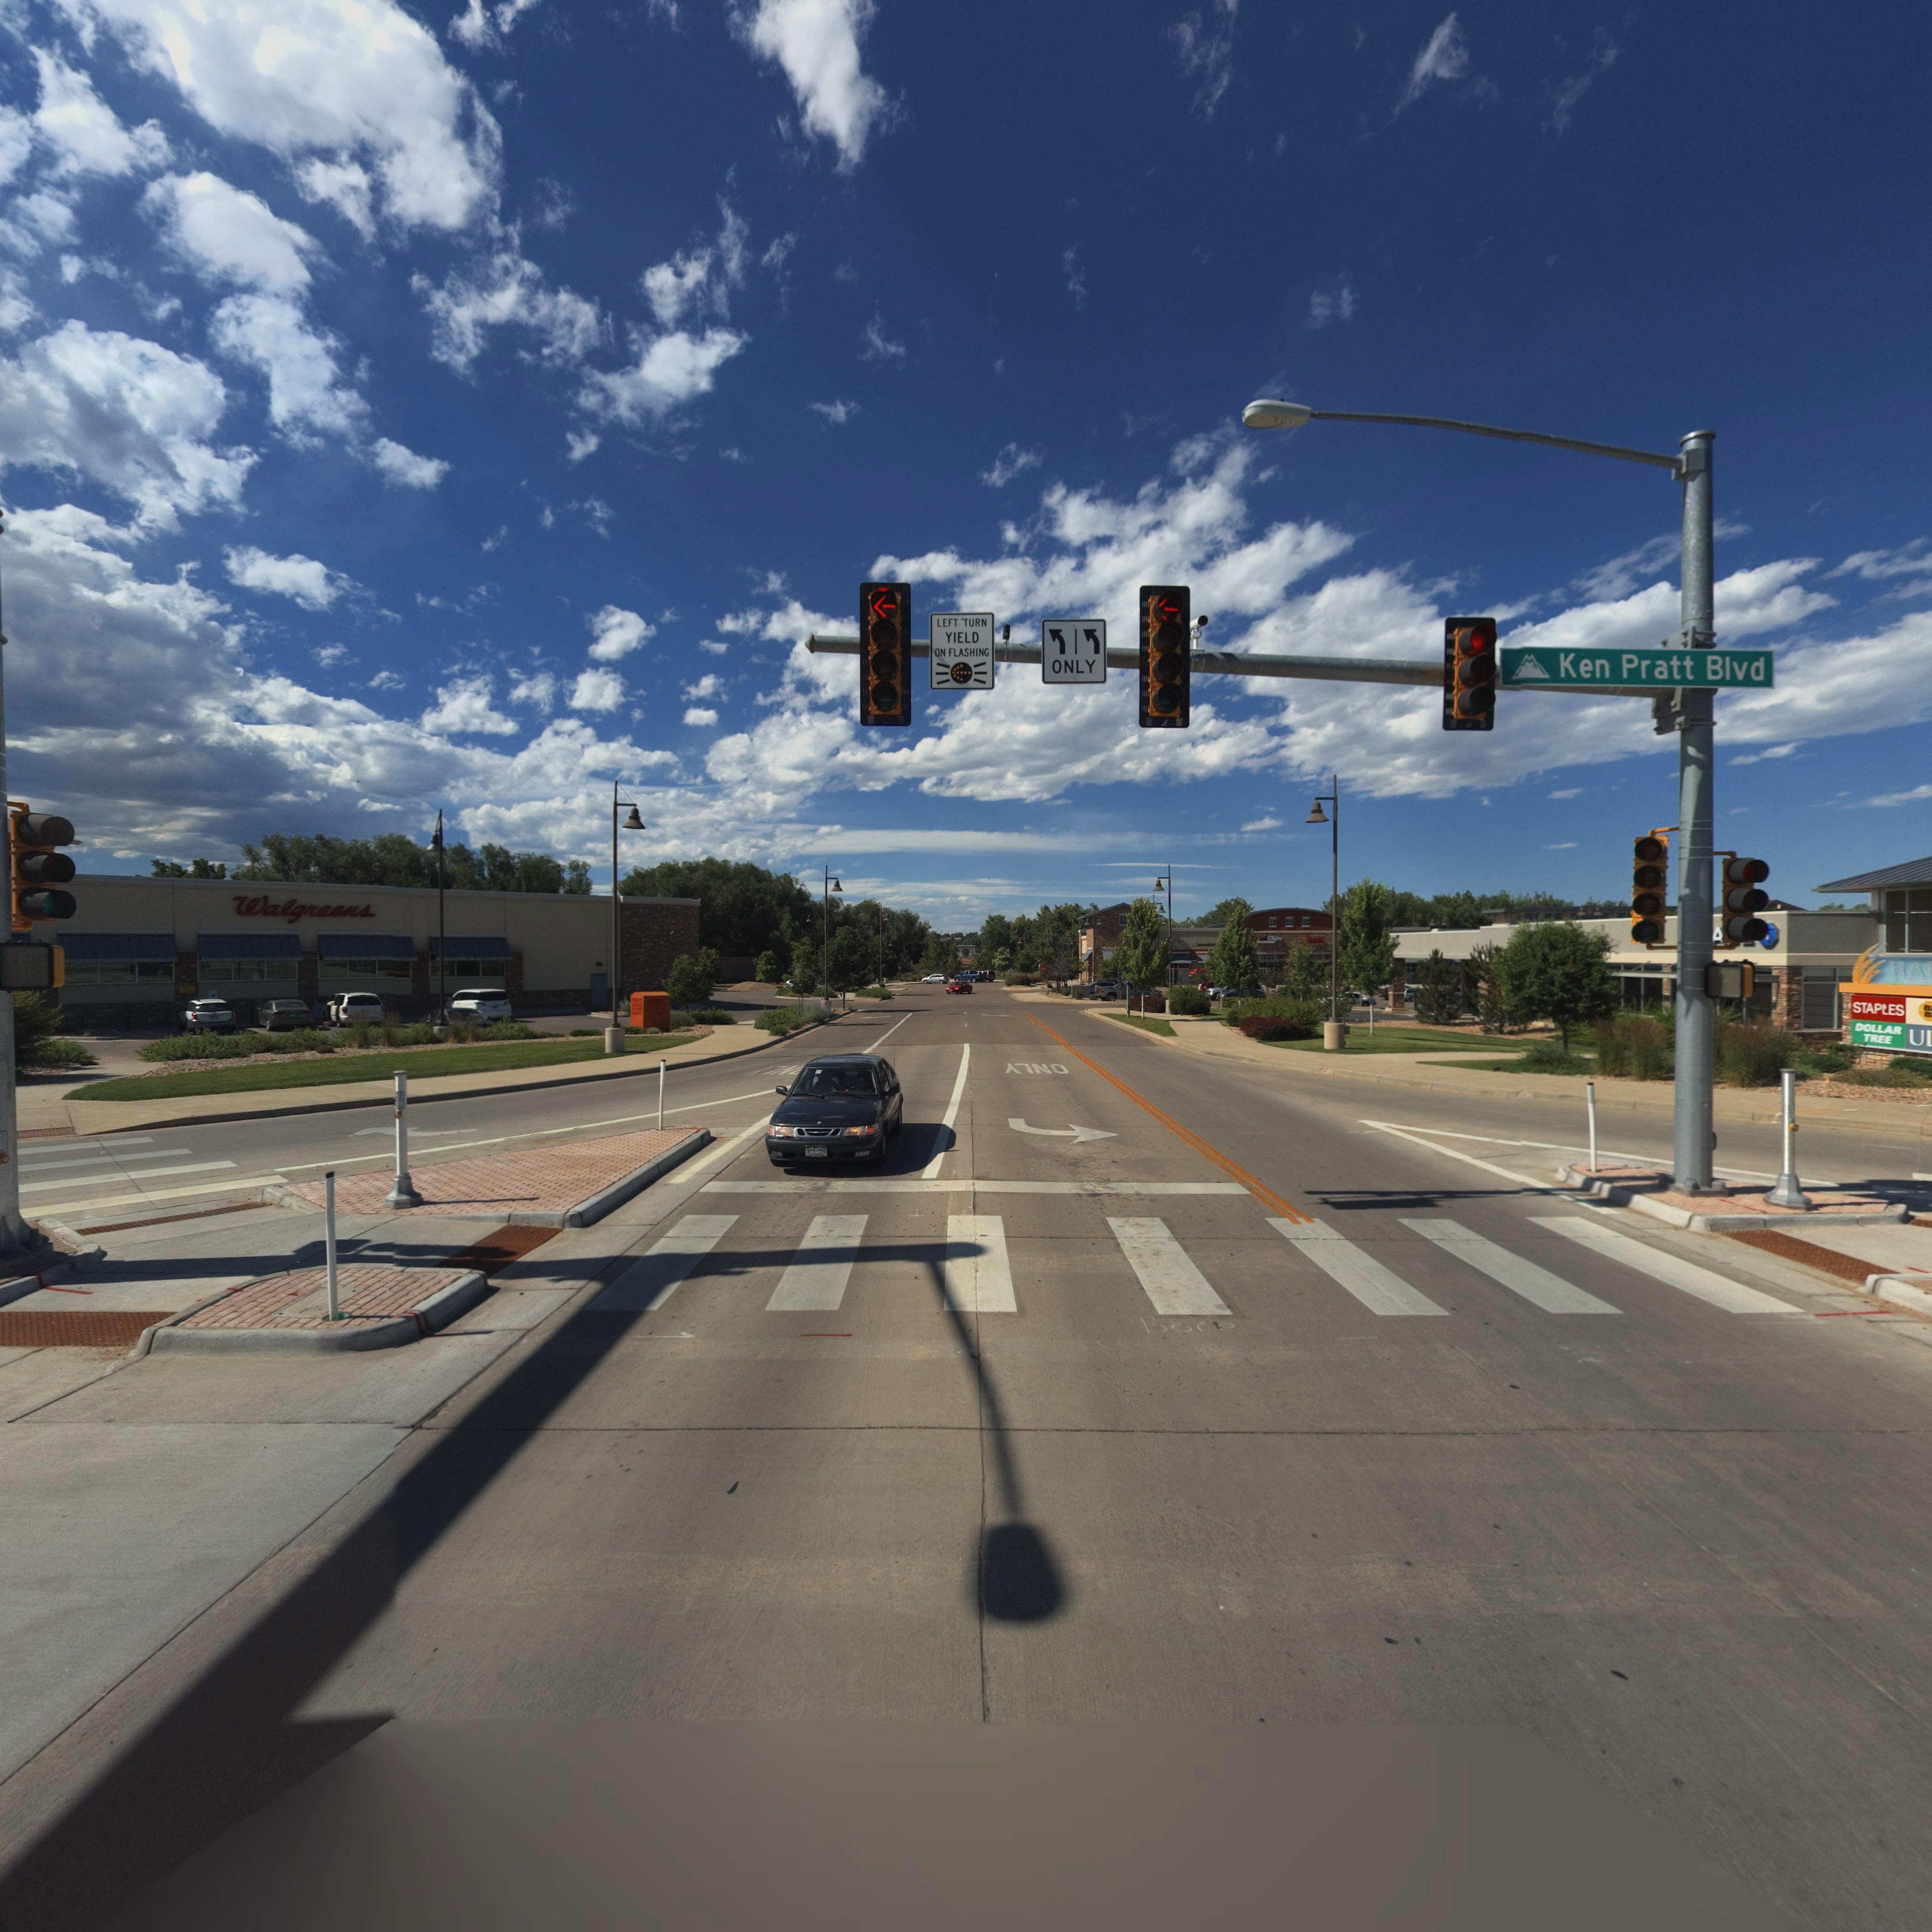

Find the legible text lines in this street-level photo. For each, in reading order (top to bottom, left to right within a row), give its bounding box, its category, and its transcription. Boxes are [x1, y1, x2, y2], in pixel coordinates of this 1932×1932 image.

[1559, 651, 1765, 682] StreetName: Ken Pratt Blvd
[233, 894, 377, 925] BusinessName: Walgreens
[1154, 937, 1161, 947] BusinessName: P
[1267, 935, 1282, 942] BusinessName: C**ps
[1711, 927, 1723, 942] BusinessName: A
[1851, 1001, 1905, 1016] BusinessName: STAPLES
[1923, 1004, 1931, 1011] BusinessName: B
[1924, 1011, 1931, 1017] BusinessName: B
[1855, 1022, 1902, 1035] BusinessName: DOLLAR
[1863, 1033, 1893, 1044] BusinessName: TREE
[1909, 1029, 1925, 1046] BusinessName: U